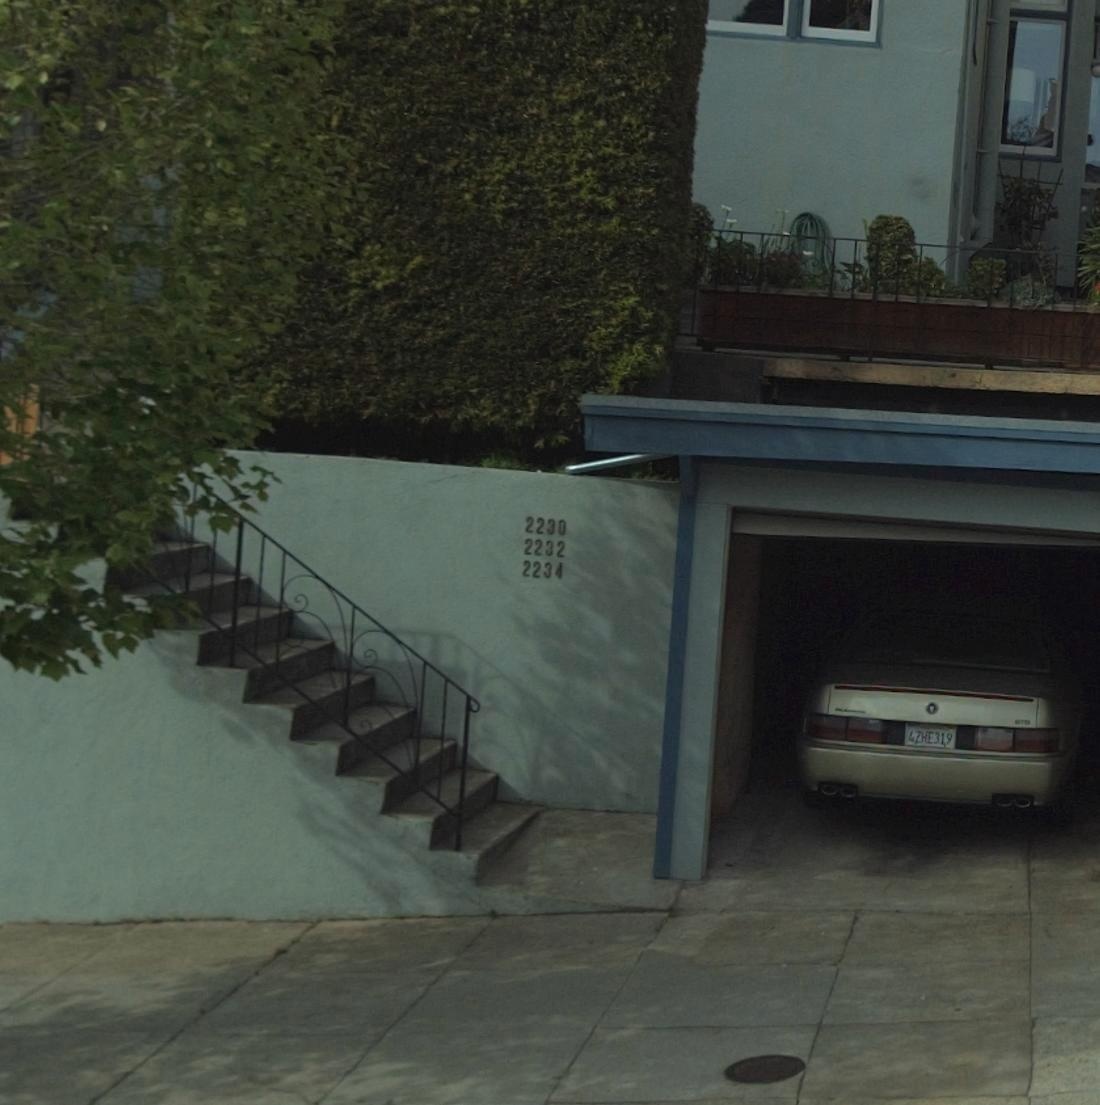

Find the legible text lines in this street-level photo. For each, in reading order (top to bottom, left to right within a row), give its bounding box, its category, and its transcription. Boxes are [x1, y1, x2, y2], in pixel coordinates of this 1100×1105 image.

[523, 512, 568, 539] StreetNumber: 2230
[521, 535, 567, 560] StreetNumber: 2232
[520, 558, 565, 583] StreetNumber: 2234
[905, 727, 956, 748] None: 4ZHE319